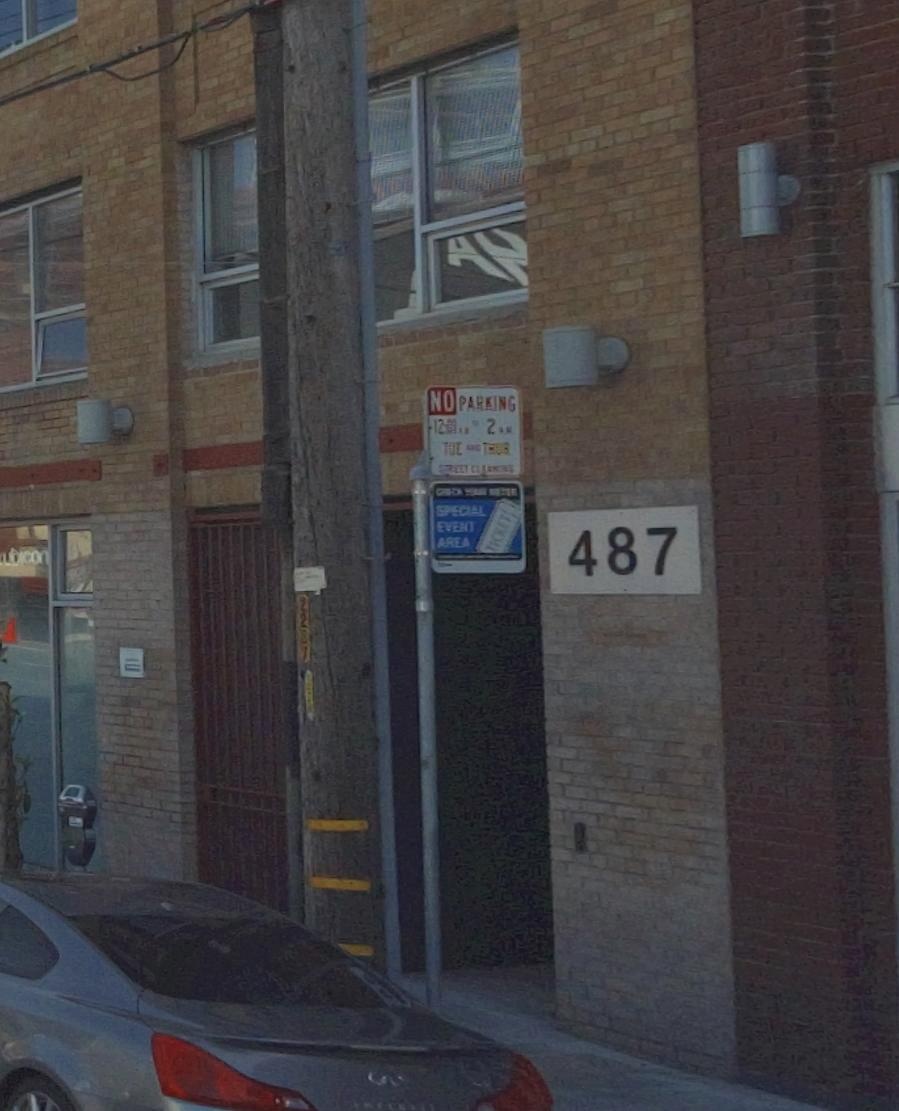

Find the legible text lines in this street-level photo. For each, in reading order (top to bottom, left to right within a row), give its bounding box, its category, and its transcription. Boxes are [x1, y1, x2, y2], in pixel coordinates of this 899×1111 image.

[428, 387, 519, 418] None: NO PARKING
[431, 416, 455, 438] None: 120
[484, 415, 499, 437] None: 2
[440, 439, 466, 459] None: UE
[481, 440, 513, 459] None: THUR
[458, 462, 482, 476] None: ET CL
[433, 502, 488, 521] None: SPECIAL
[435, 519, 478, 536] None: EVENT
[2, 545, 51, 569] BusinessName: ubicon
[434, 534, 475, 552] None: AREA
[561, 522, 683, 582] StreetNumber: 487
[296, 594, 310, 665] None: 22*7